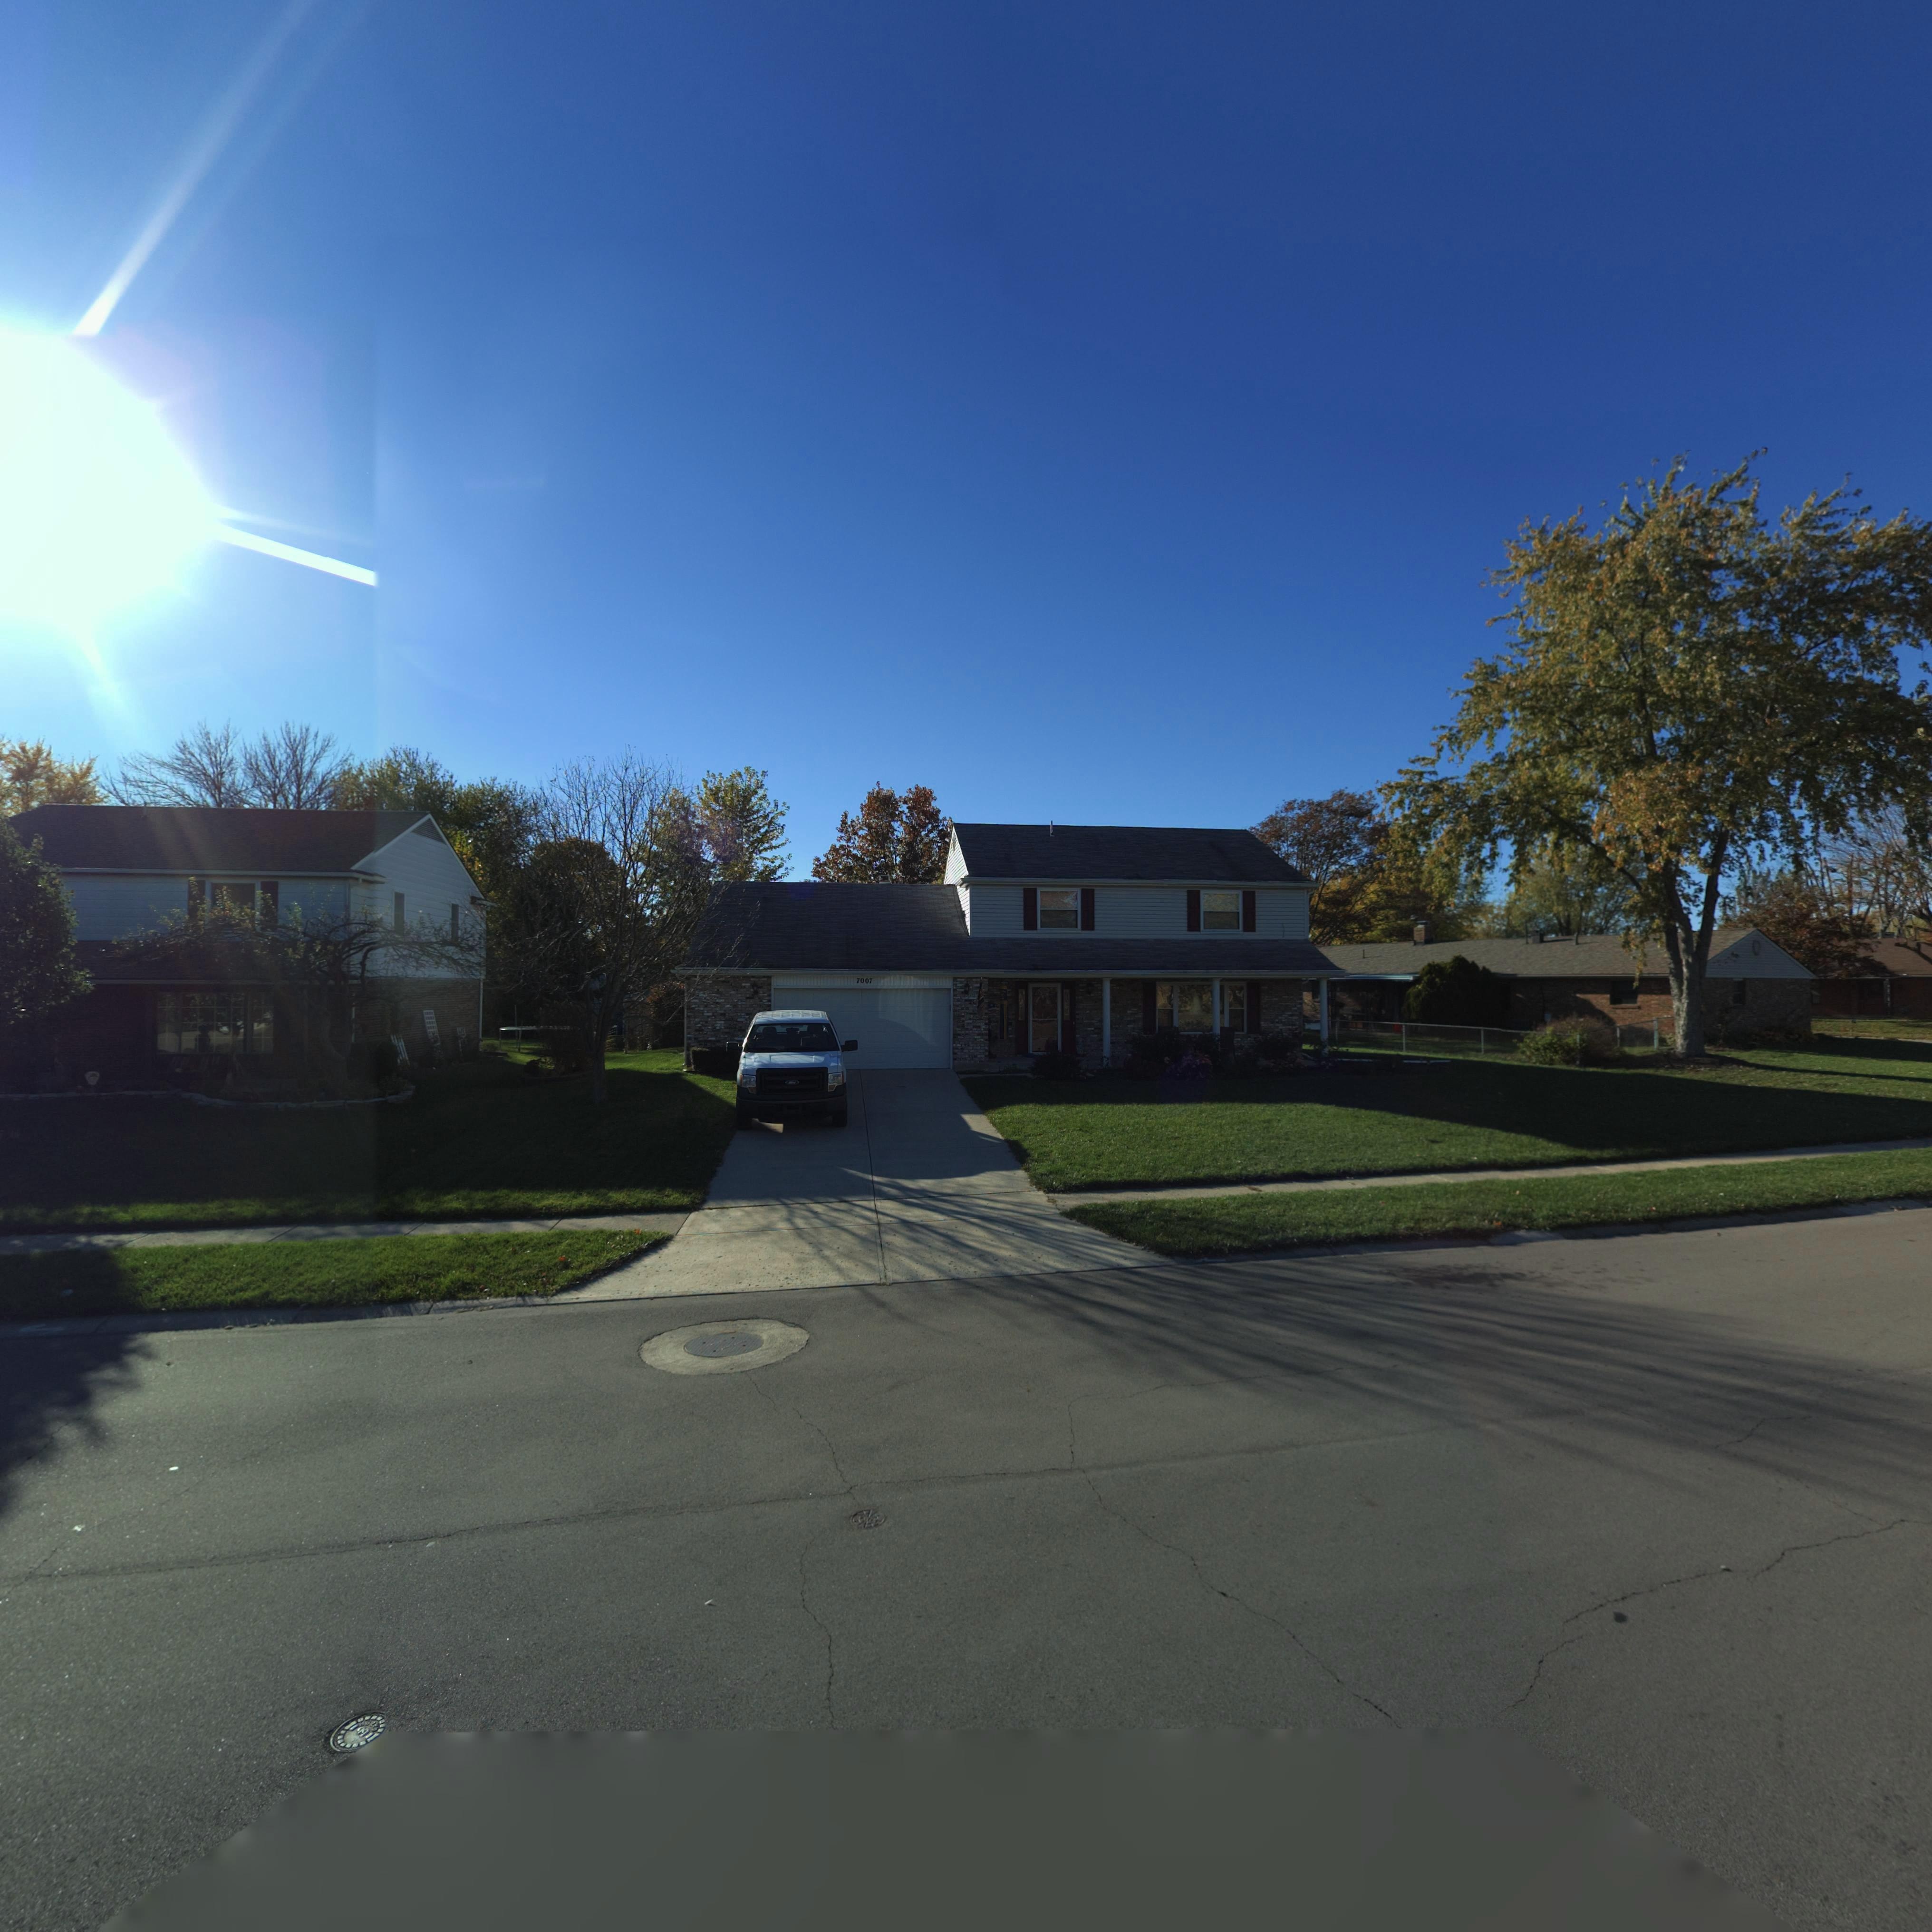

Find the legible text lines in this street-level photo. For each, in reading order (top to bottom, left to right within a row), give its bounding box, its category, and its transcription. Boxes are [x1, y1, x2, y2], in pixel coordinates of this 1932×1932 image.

[856, 977, 873, 984] StreetNumber: 7007